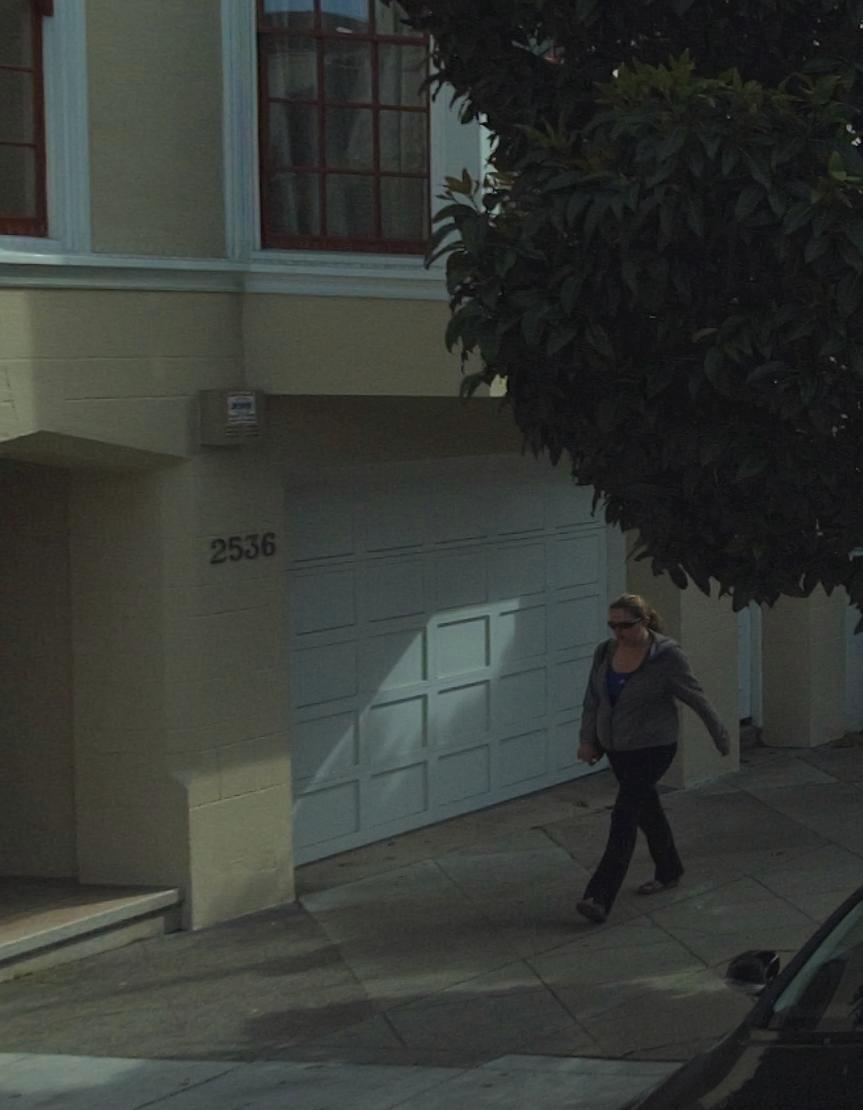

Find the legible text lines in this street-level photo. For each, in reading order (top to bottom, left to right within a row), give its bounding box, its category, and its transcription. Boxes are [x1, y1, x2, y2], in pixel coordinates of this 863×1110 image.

[205, 526, 281, 570] StreetNumber: 2536